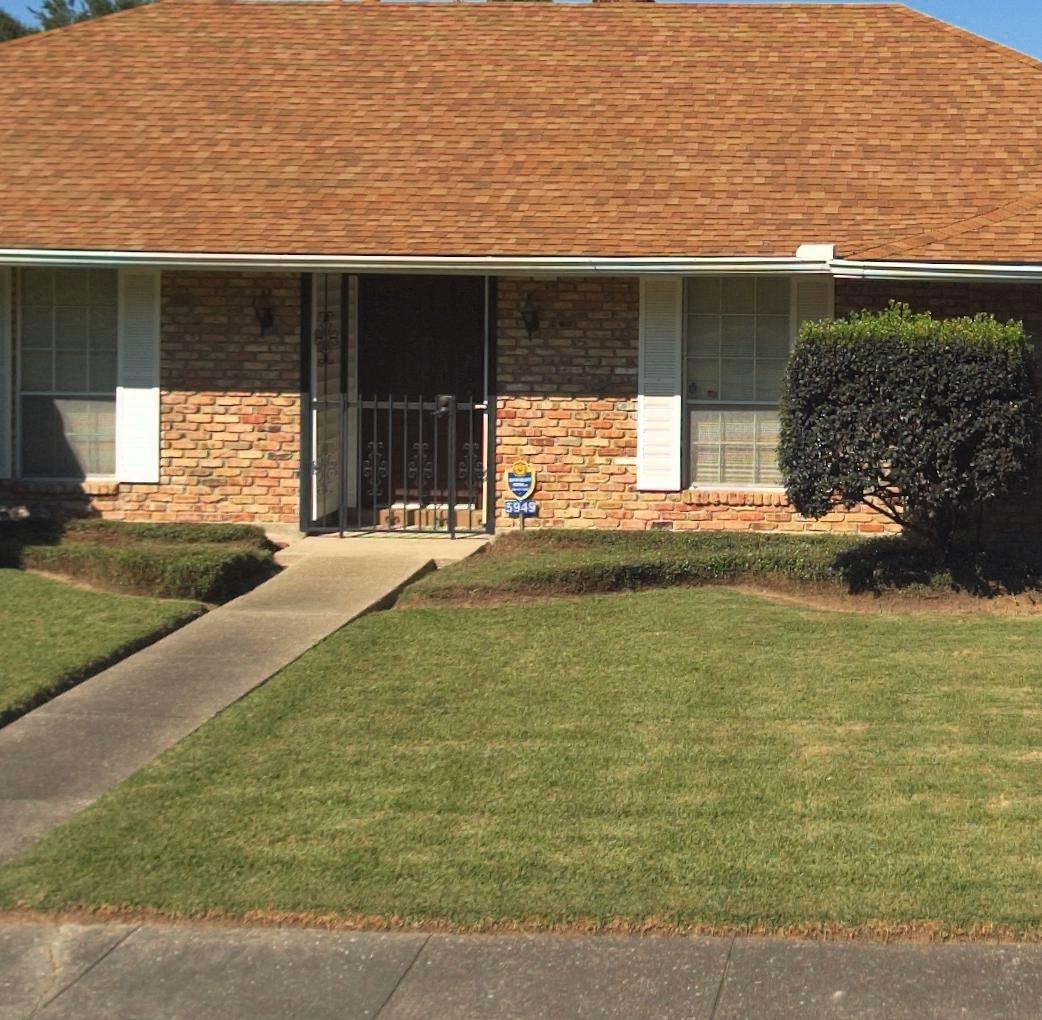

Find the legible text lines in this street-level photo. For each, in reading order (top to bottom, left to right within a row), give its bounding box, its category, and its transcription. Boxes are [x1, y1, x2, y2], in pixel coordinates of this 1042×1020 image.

[504, 500, 537, 515] StreetNumber: 5949